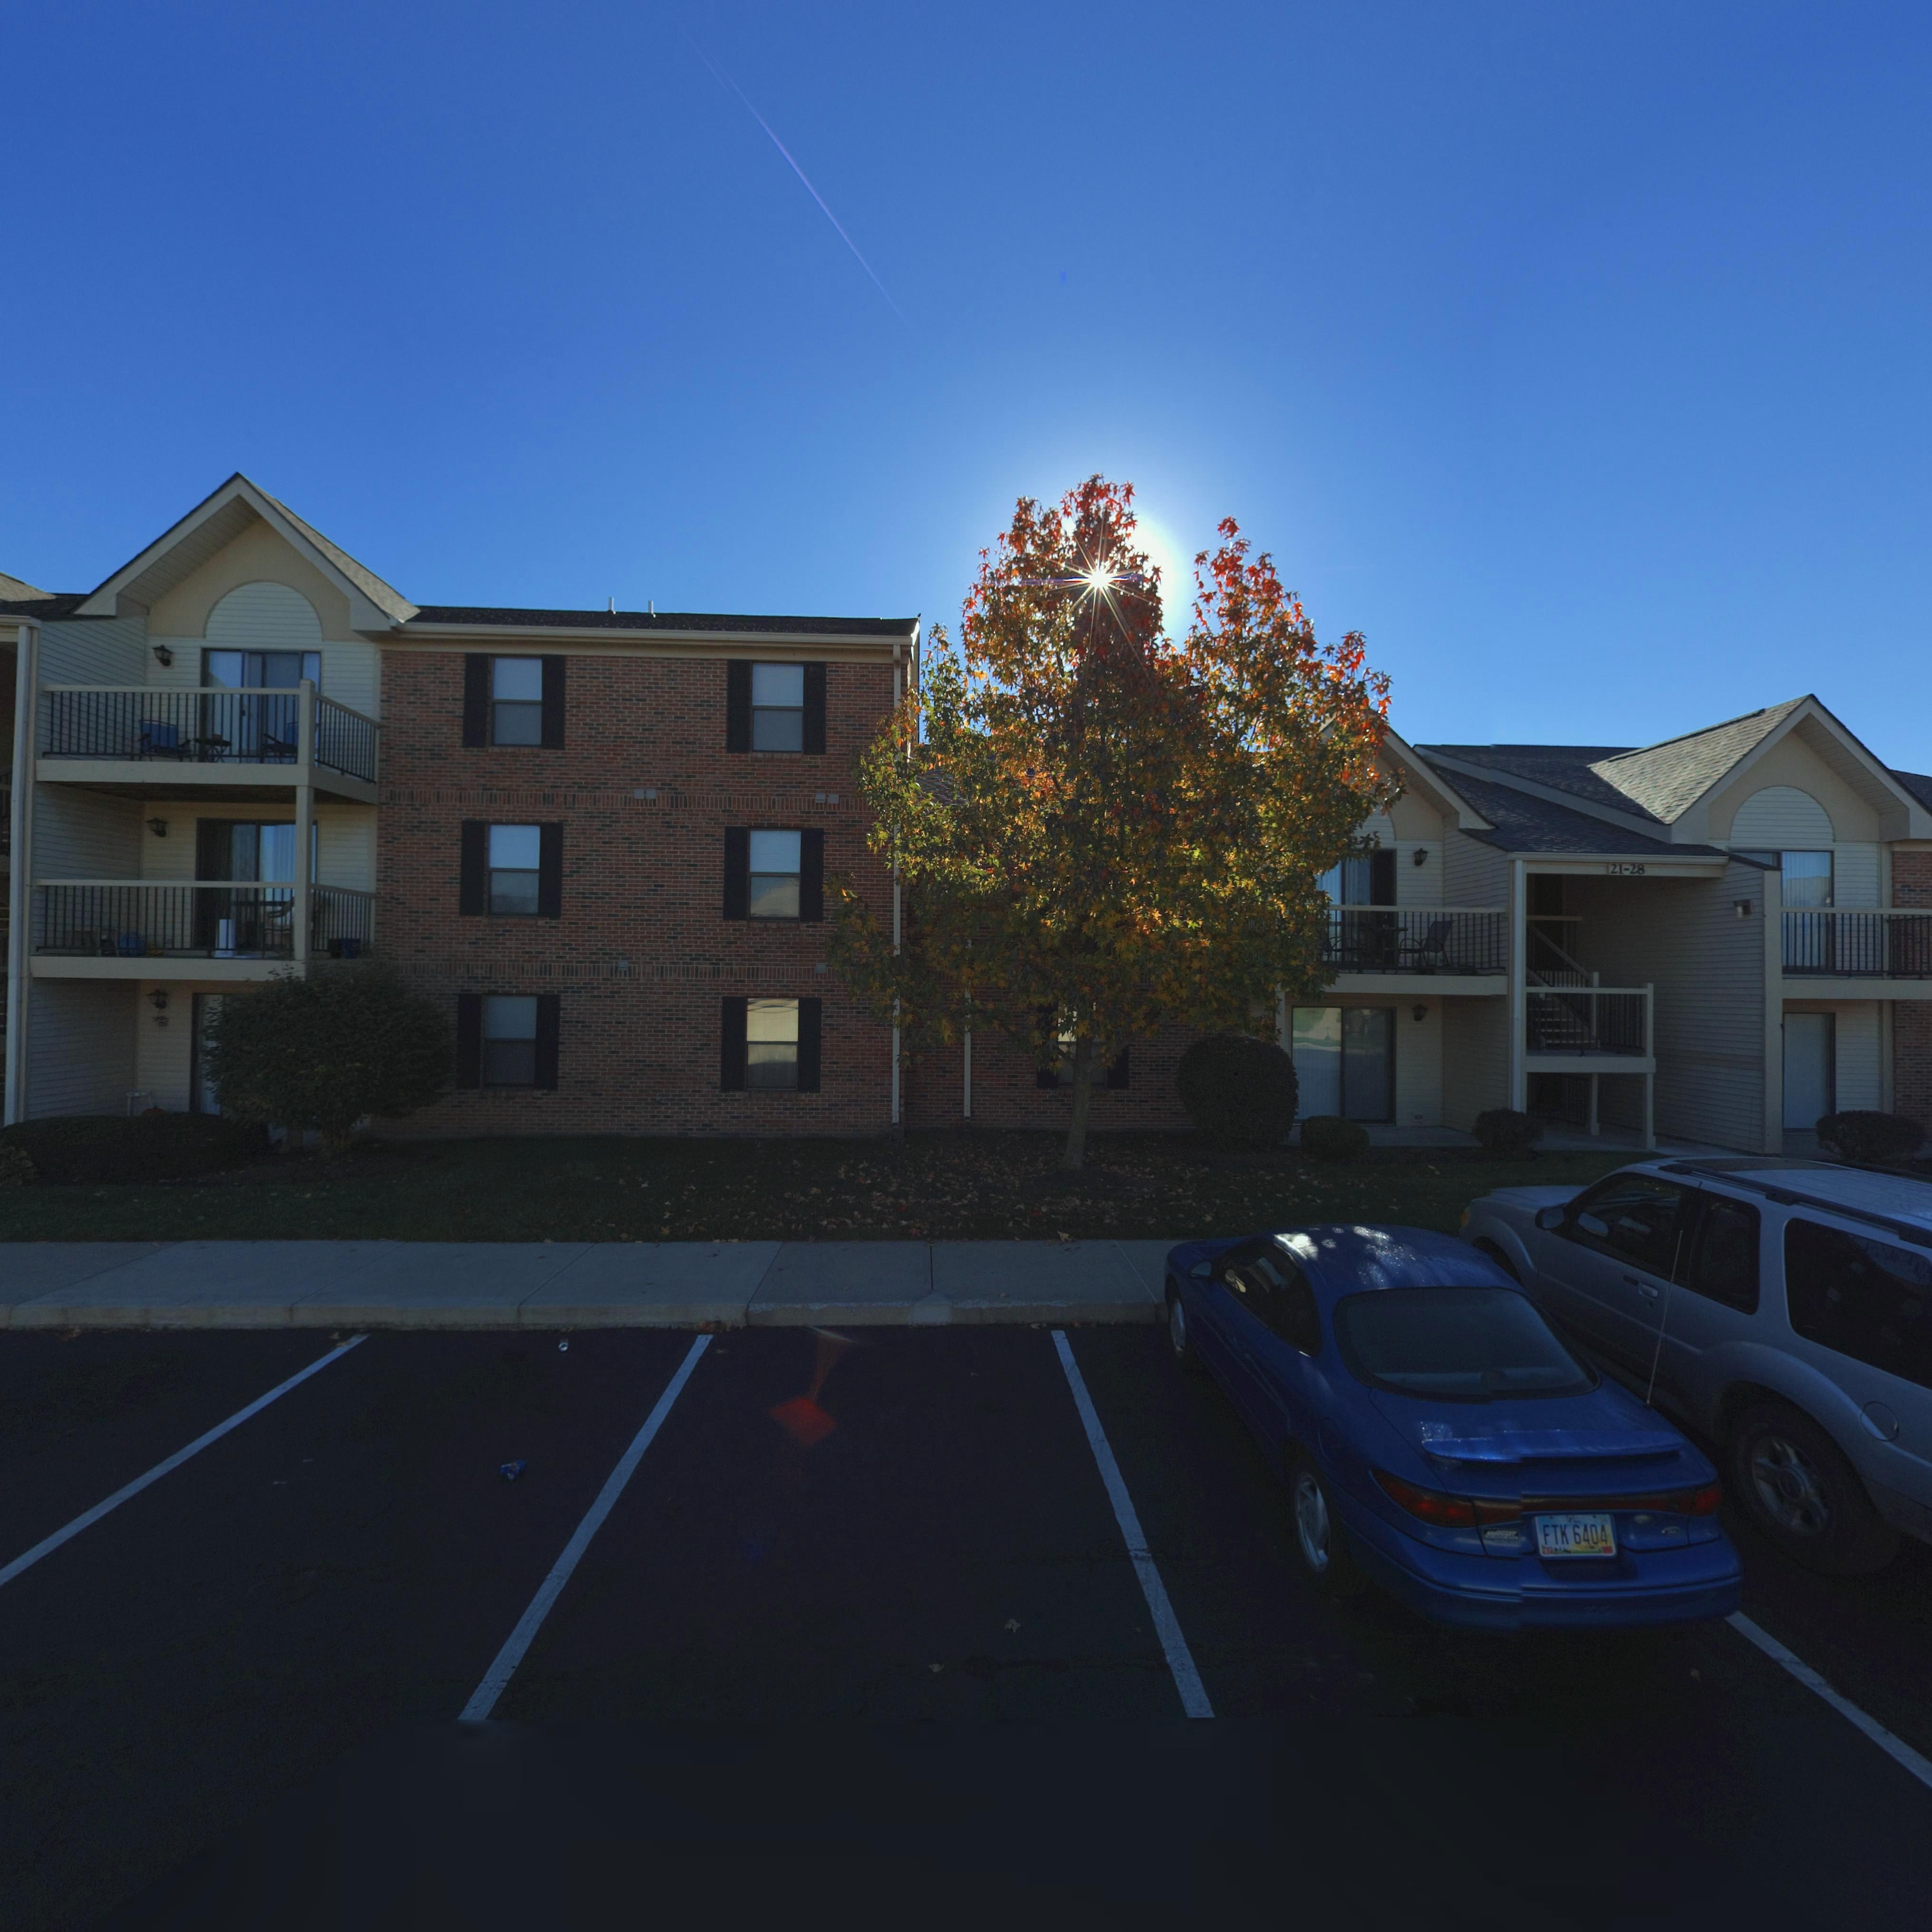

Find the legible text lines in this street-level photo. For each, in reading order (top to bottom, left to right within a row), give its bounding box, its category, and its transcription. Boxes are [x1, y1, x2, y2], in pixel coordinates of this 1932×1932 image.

[1610, 863, 1645, 875] StreetNumber: 21-28